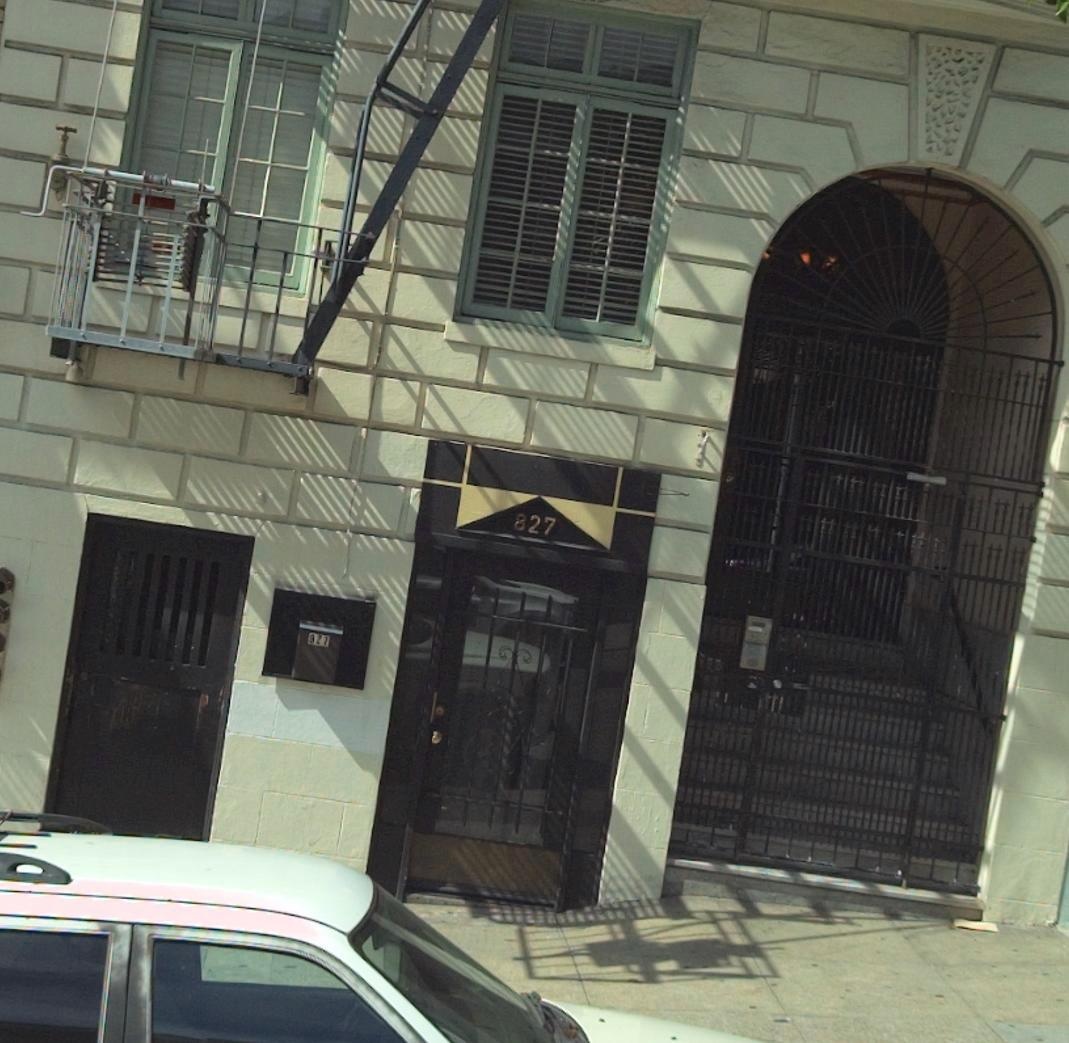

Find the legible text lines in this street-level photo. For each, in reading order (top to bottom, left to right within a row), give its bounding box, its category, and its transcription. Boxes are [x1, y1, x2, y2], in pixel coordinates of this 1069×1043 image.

[510, 507, 564, 541] StreetNumber: 827
[313, 631, 332, 650] None: 27